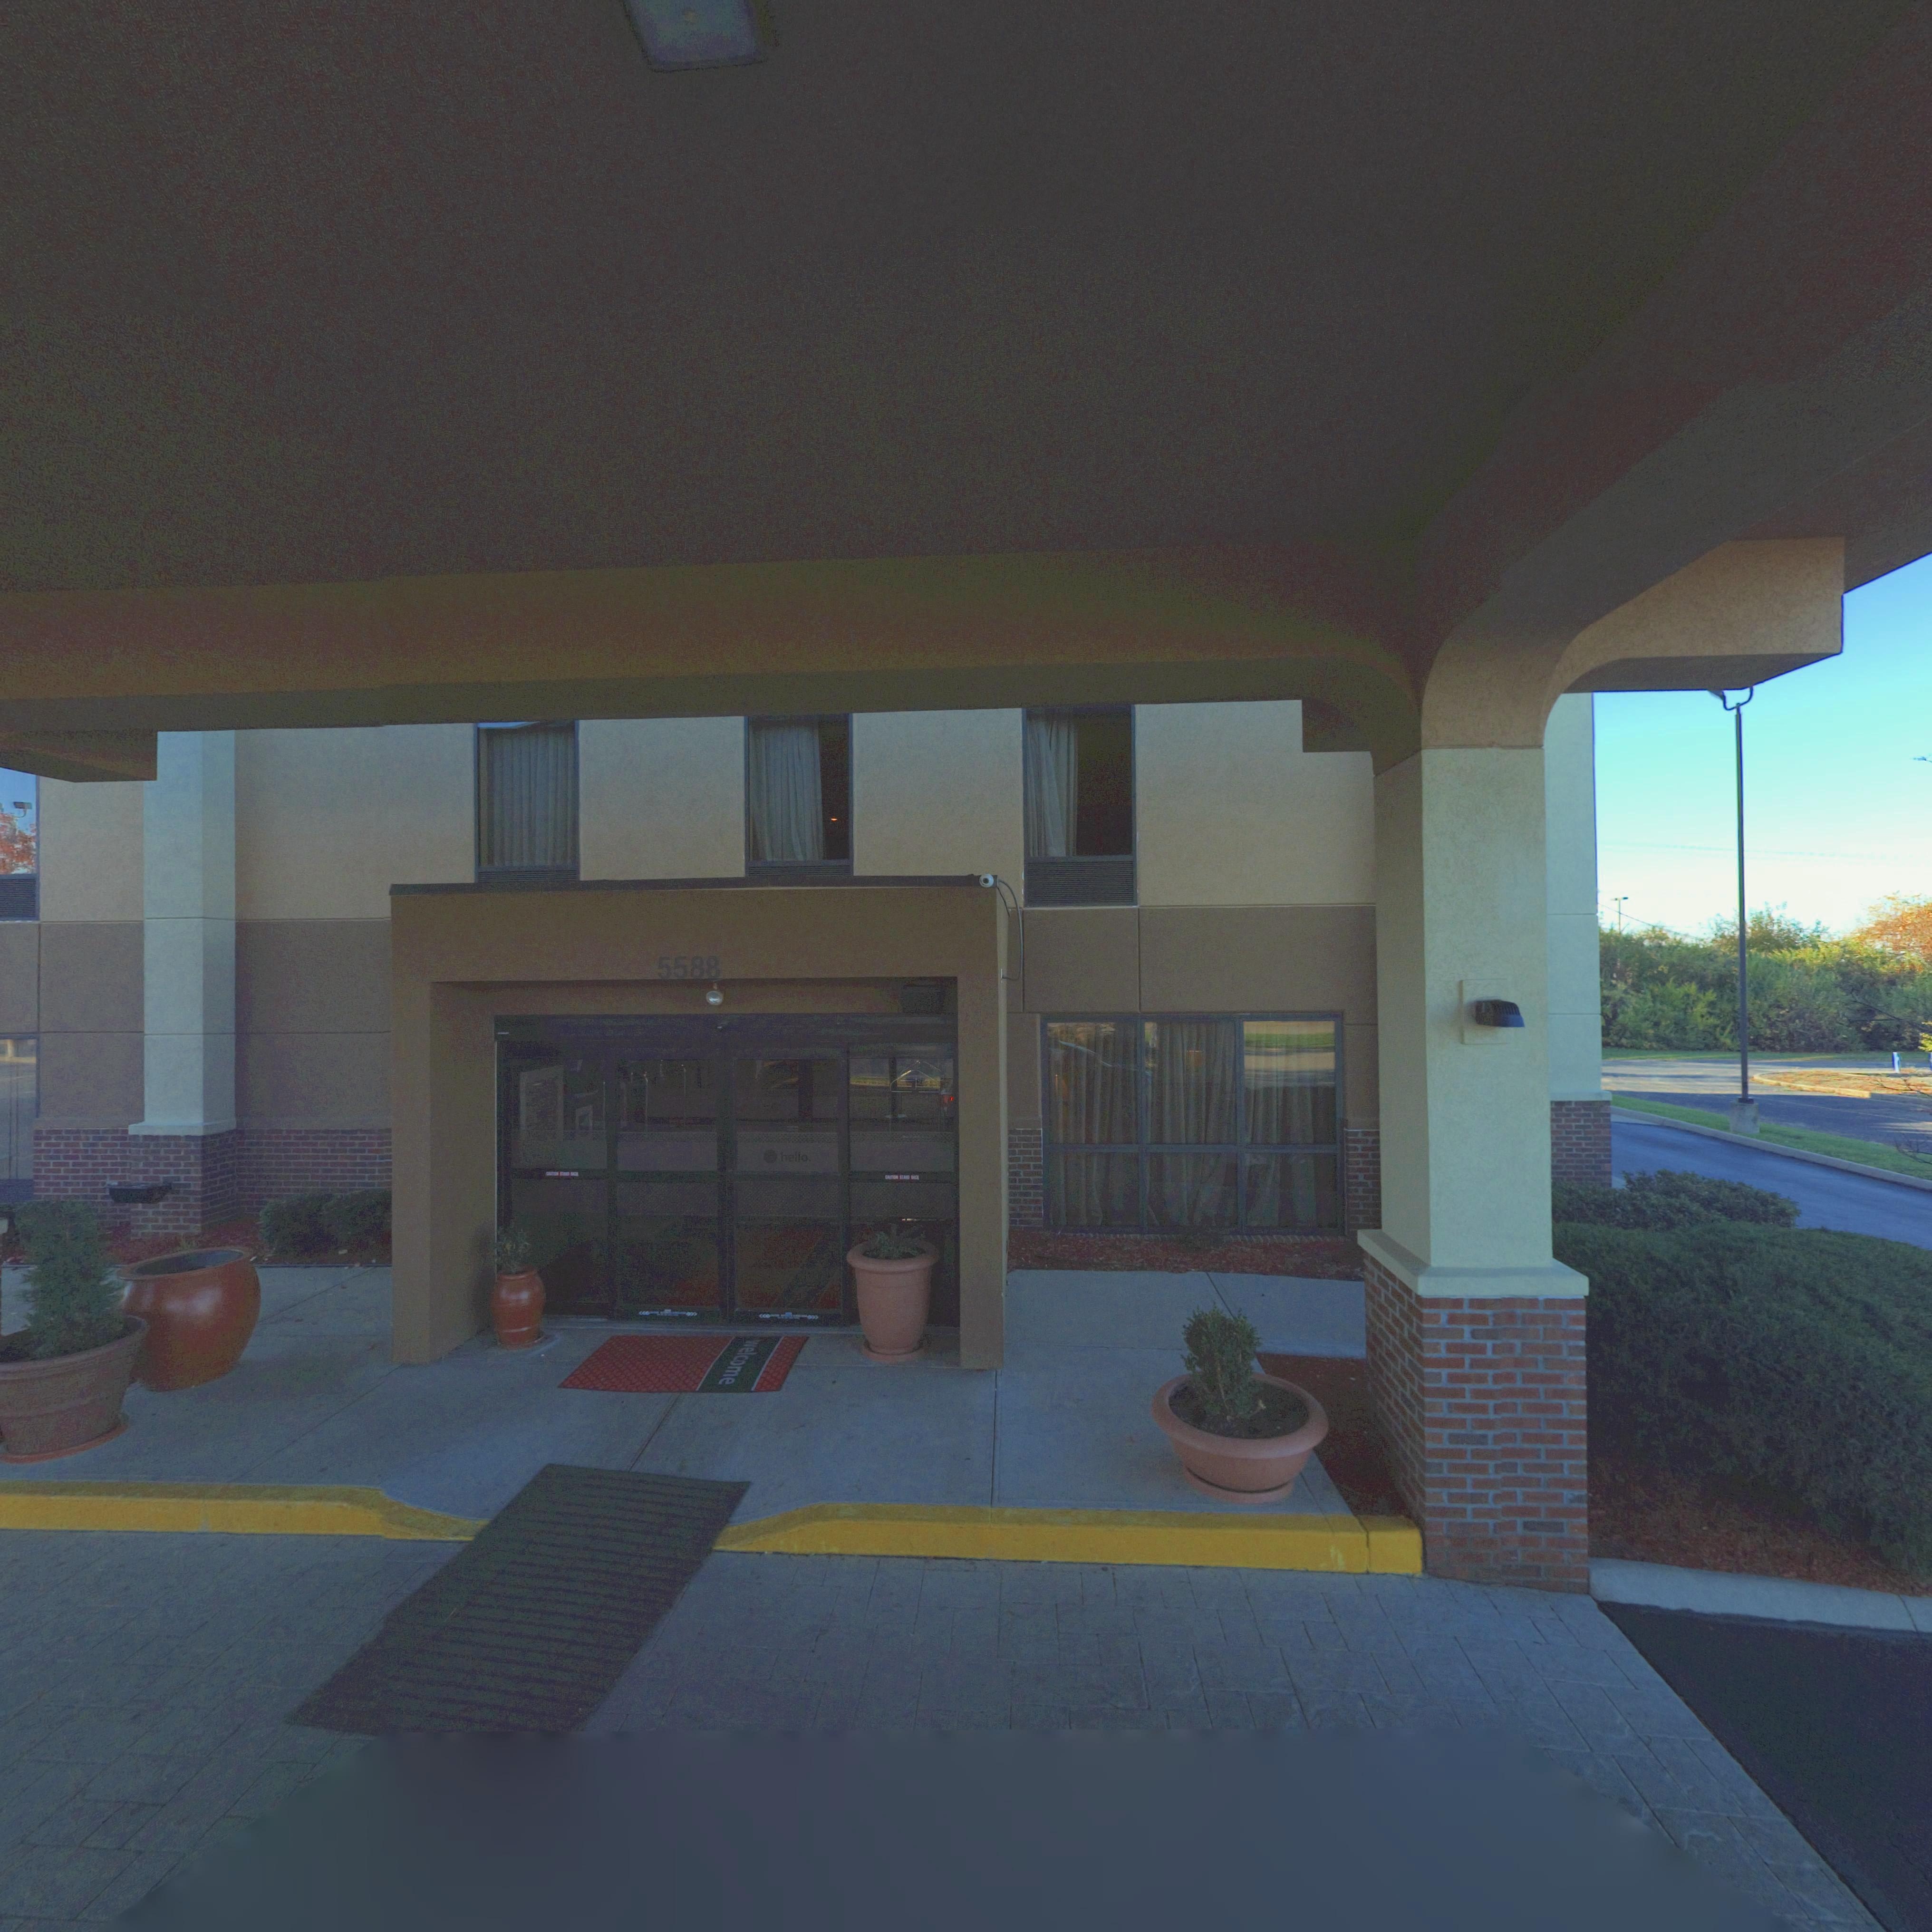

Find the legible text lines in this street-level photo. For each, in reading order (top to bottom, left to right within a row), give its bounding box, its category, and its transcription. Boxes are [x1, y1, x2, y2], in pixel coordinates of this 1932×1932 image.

[655, 953, 722, 982] StreetNumber: 5588